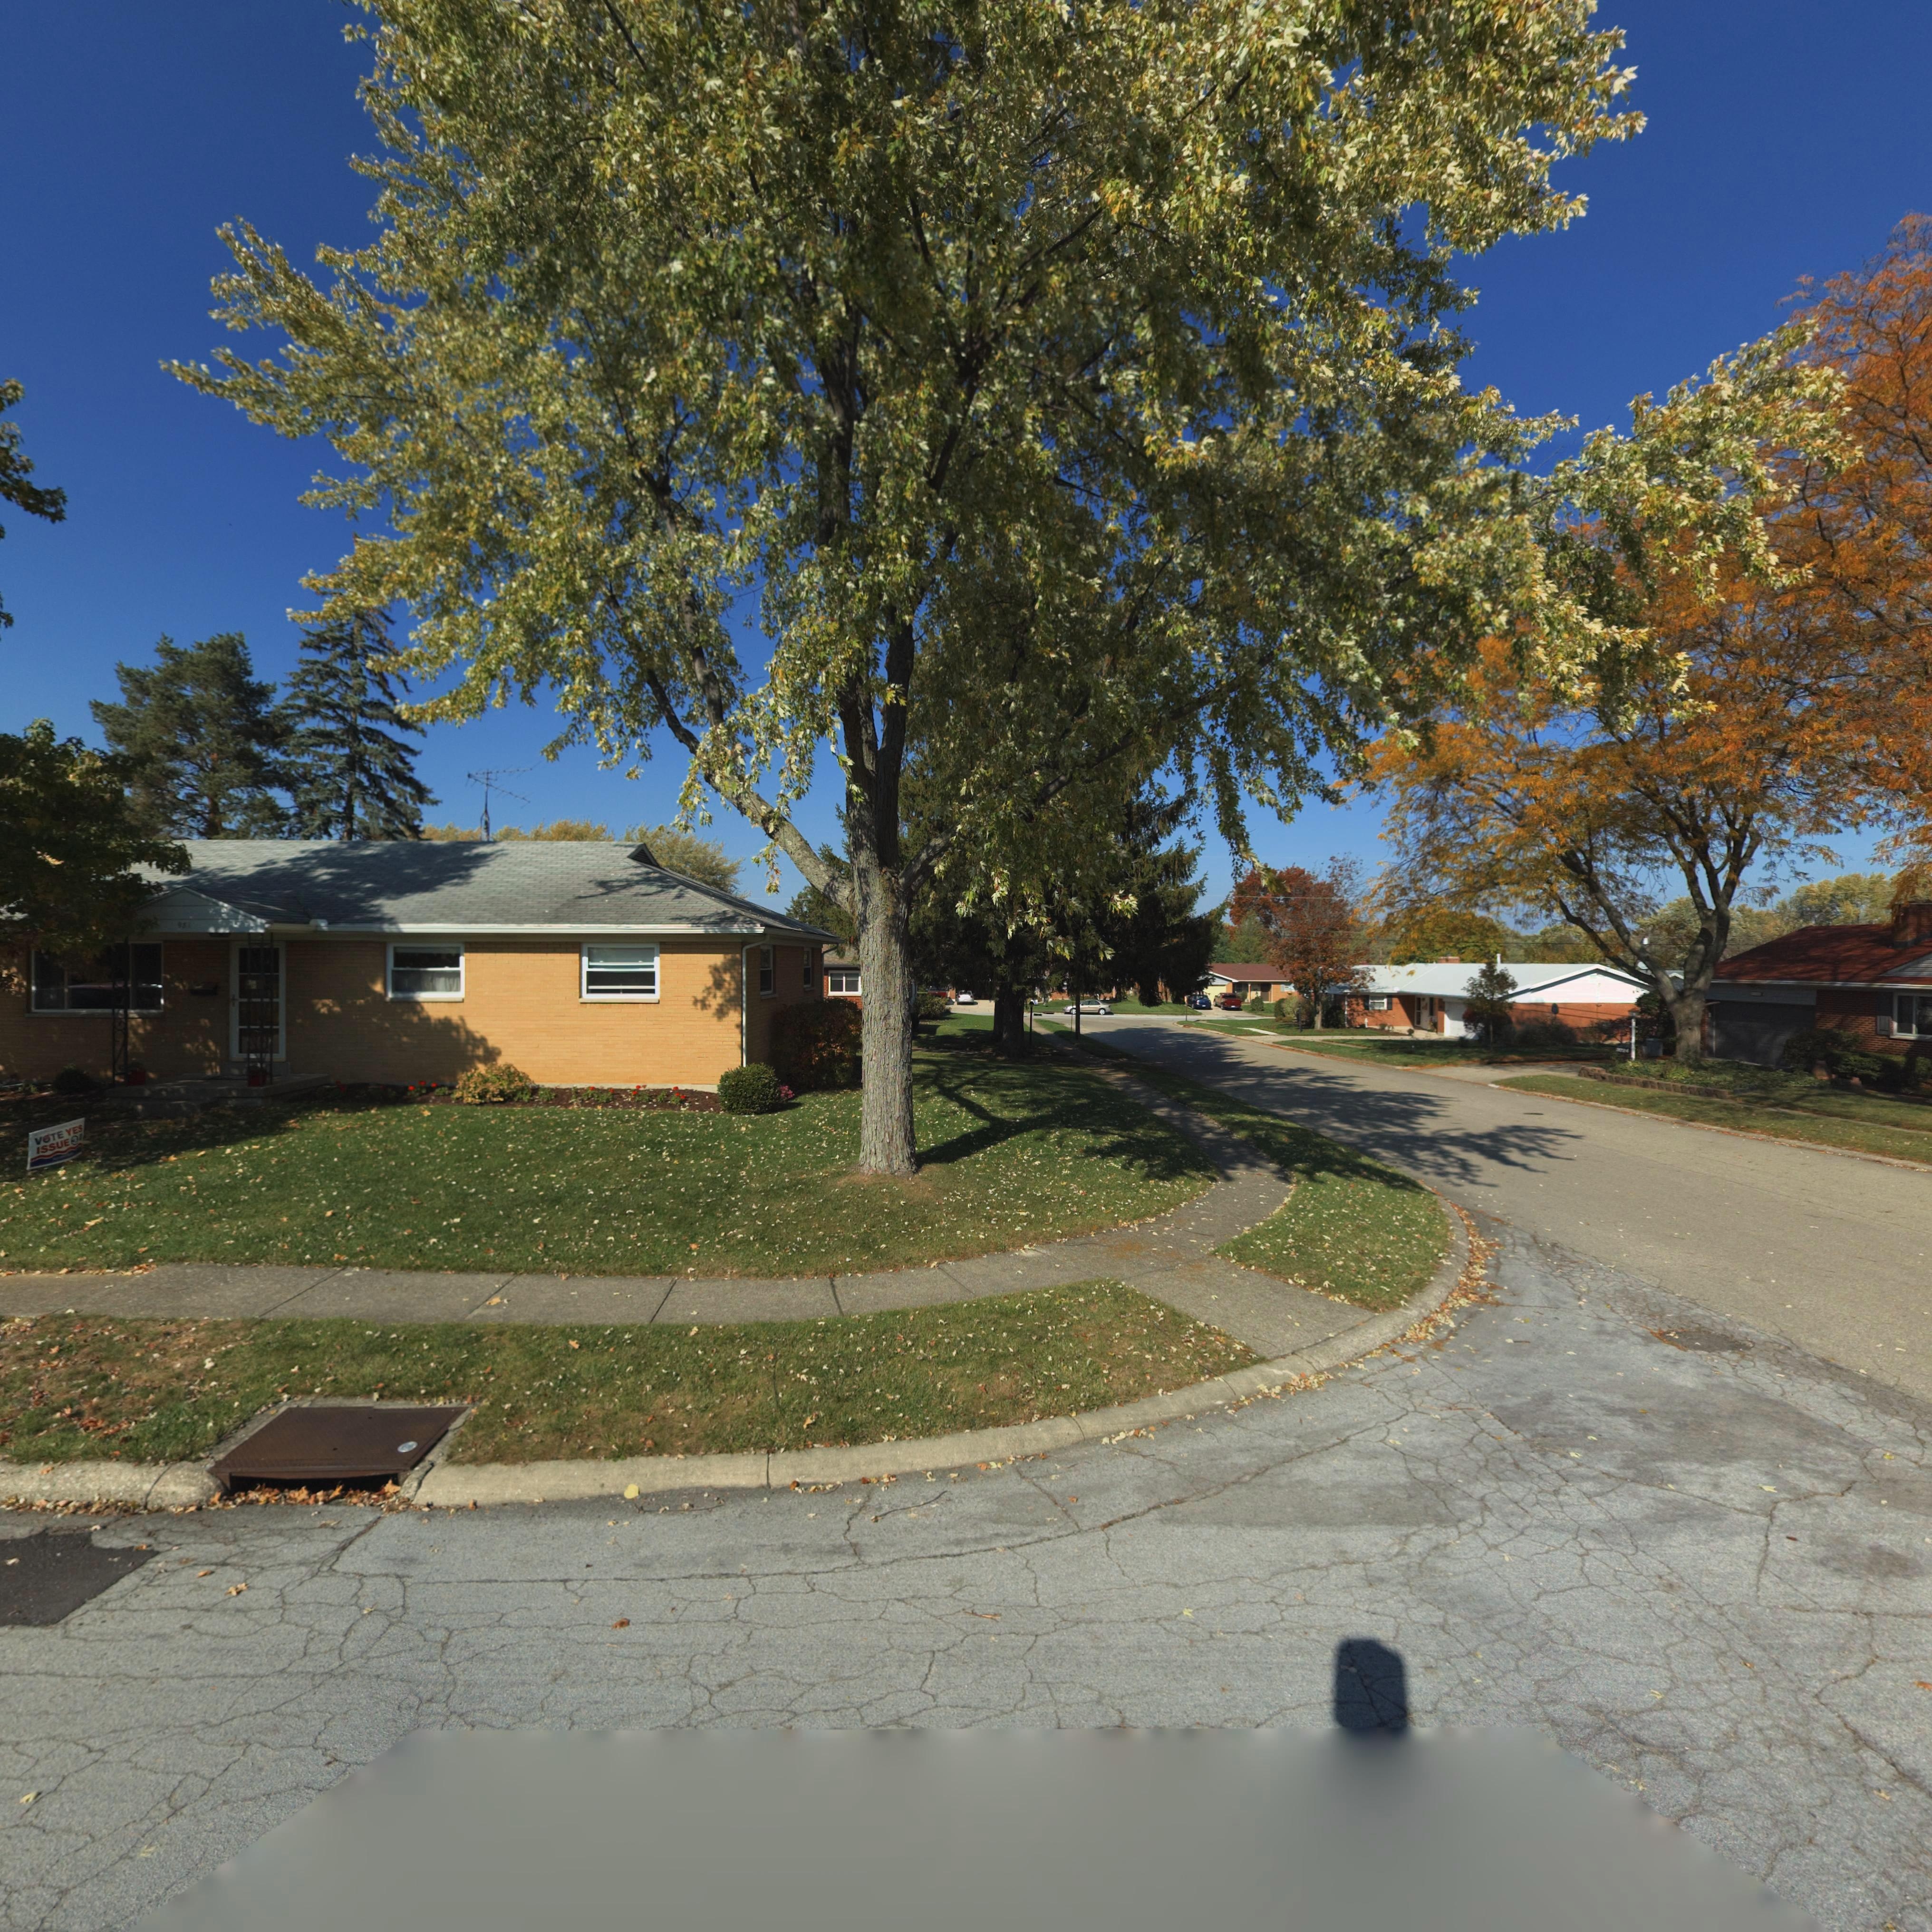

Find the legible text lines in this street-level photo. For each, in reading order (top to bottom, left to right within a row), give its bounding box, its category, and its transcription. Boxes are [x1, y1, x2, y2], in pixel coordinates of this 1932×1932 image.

[176, 921, 192, 929] StreetNumber: 981
[35, 1134, 78, 1156] None: ISSUE
[32, 1122, 84, 1147] None: VOTE YES